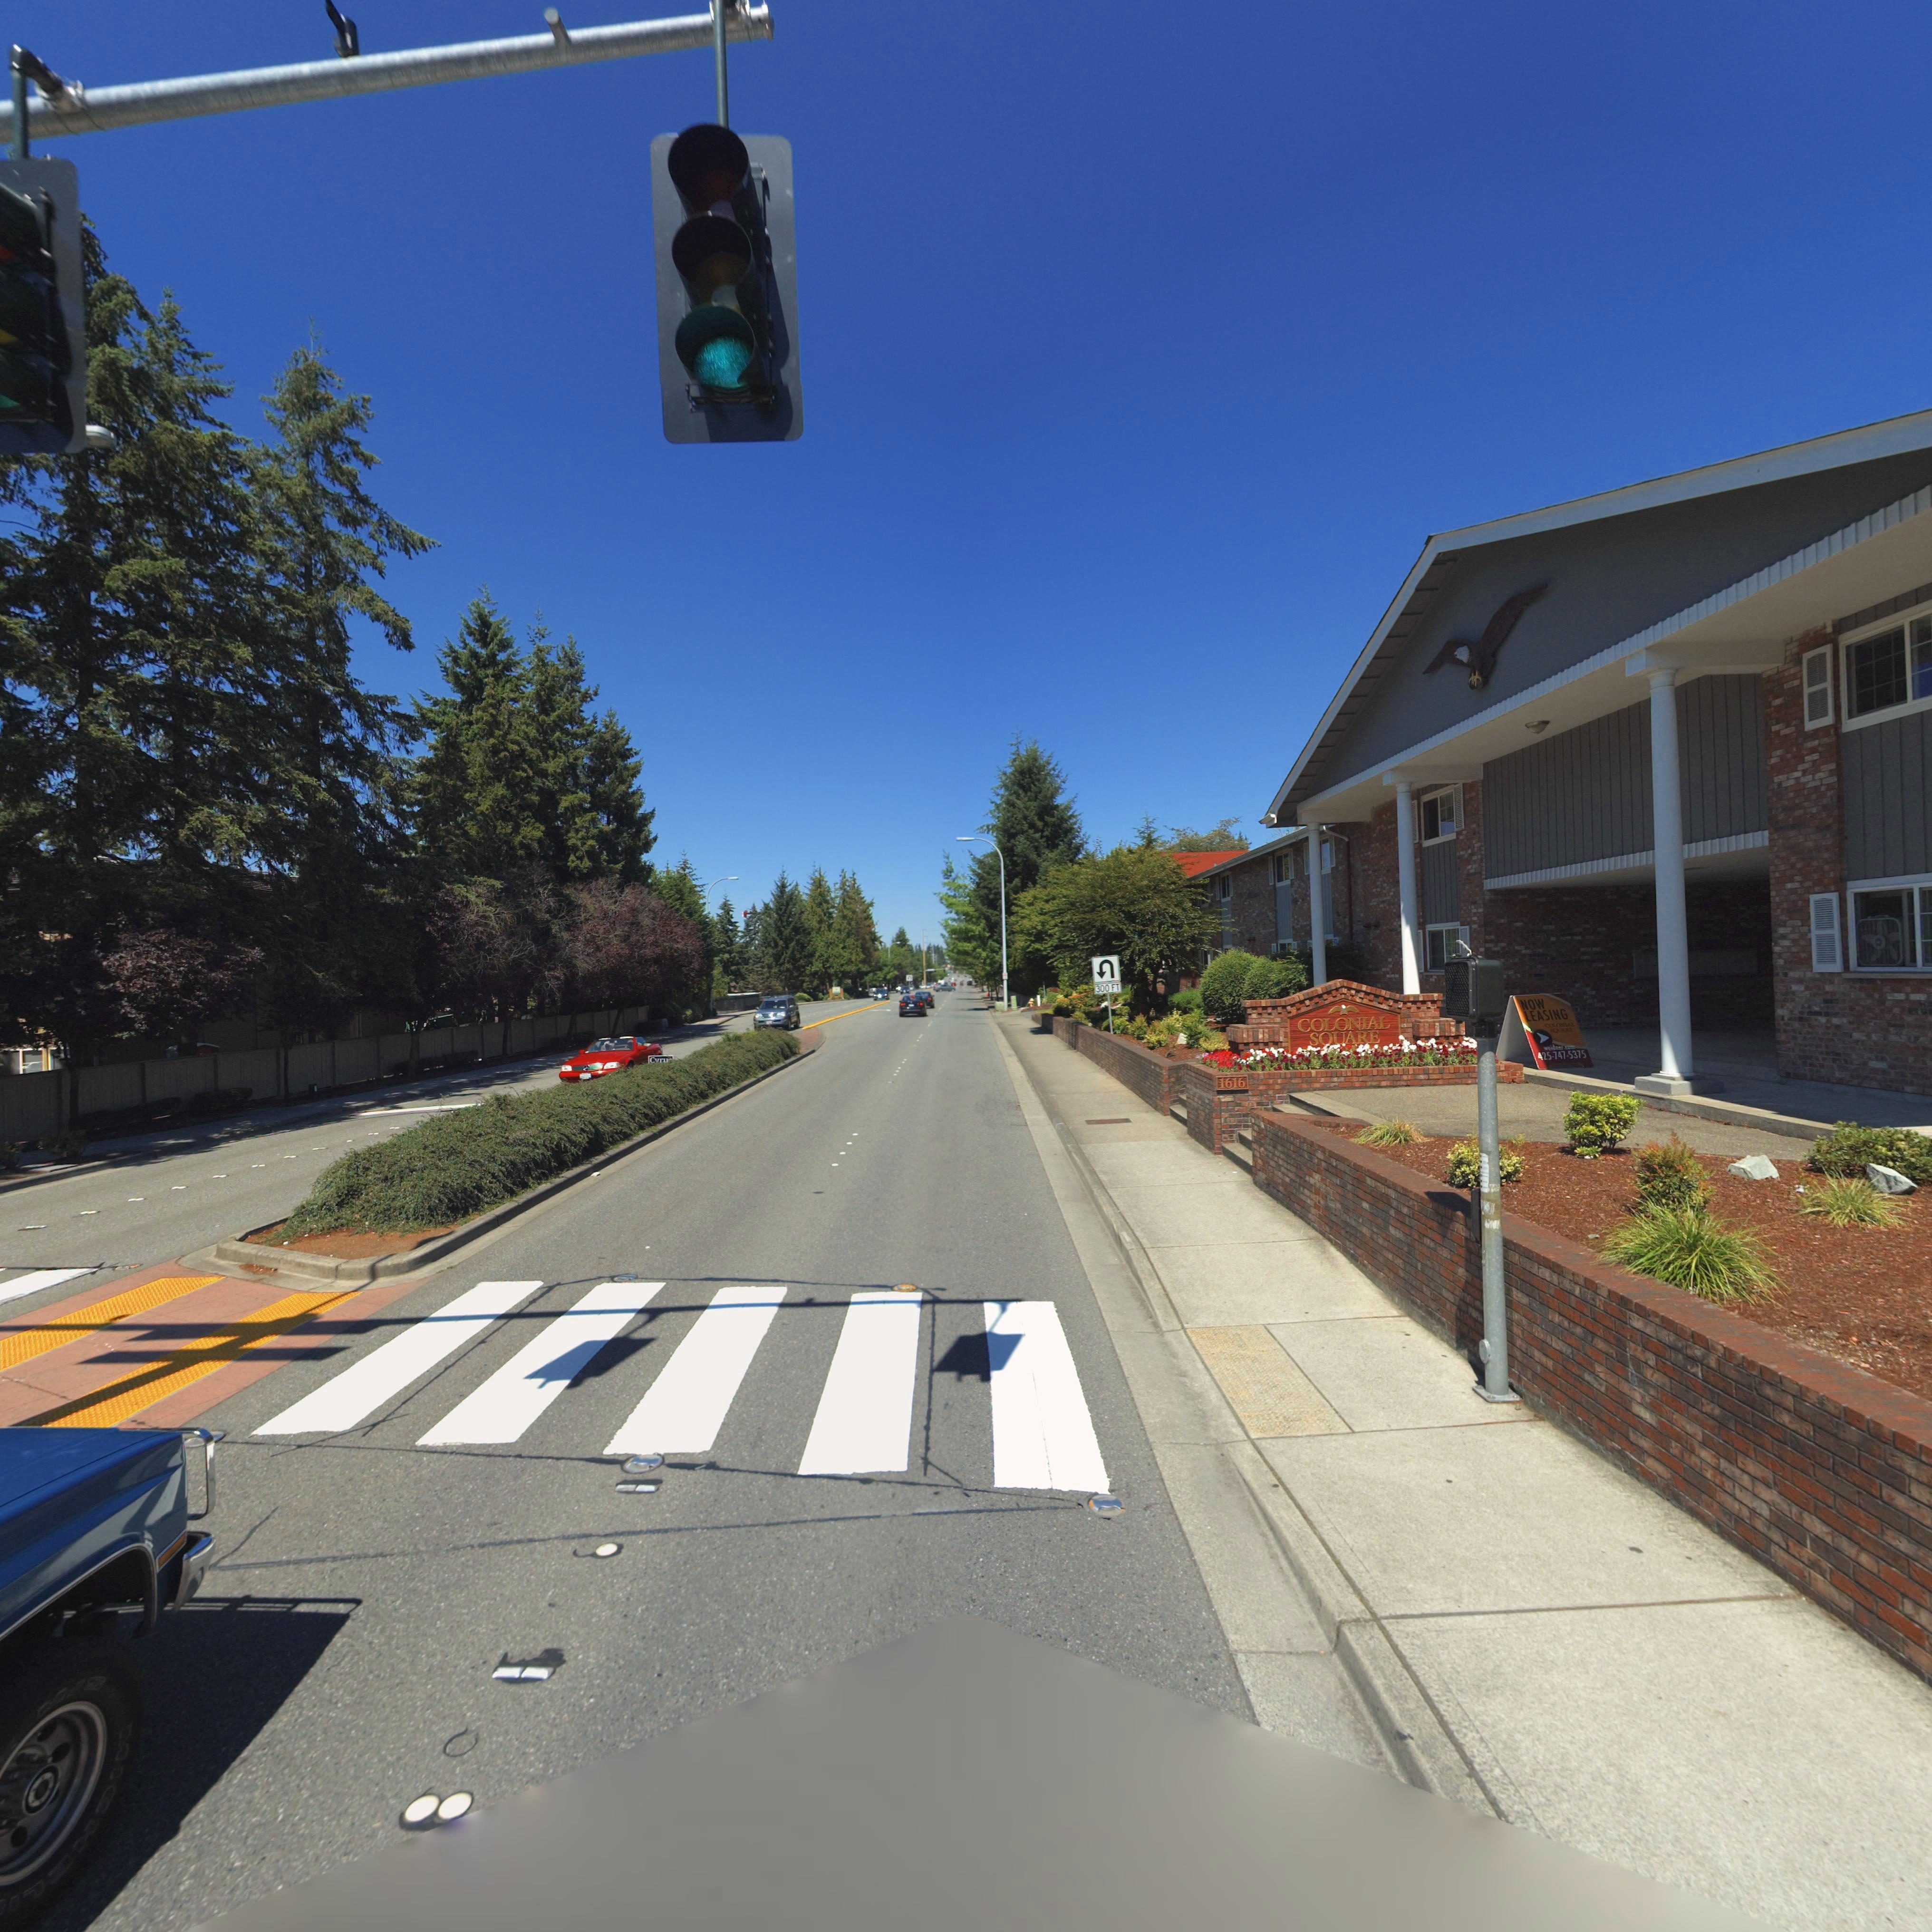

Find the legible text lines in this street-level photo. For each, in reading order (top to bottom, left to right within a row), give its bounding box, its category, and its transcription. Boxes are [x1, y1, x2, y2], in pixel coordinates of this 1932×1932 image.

[1297, 1014, 1392, 1034] BusinessName: COLONIAL
[1309, 1028, 1382, 1048] BusinessName: SQUARE
[1217, 1076, 1246, 1090] StreetNumber: 1616